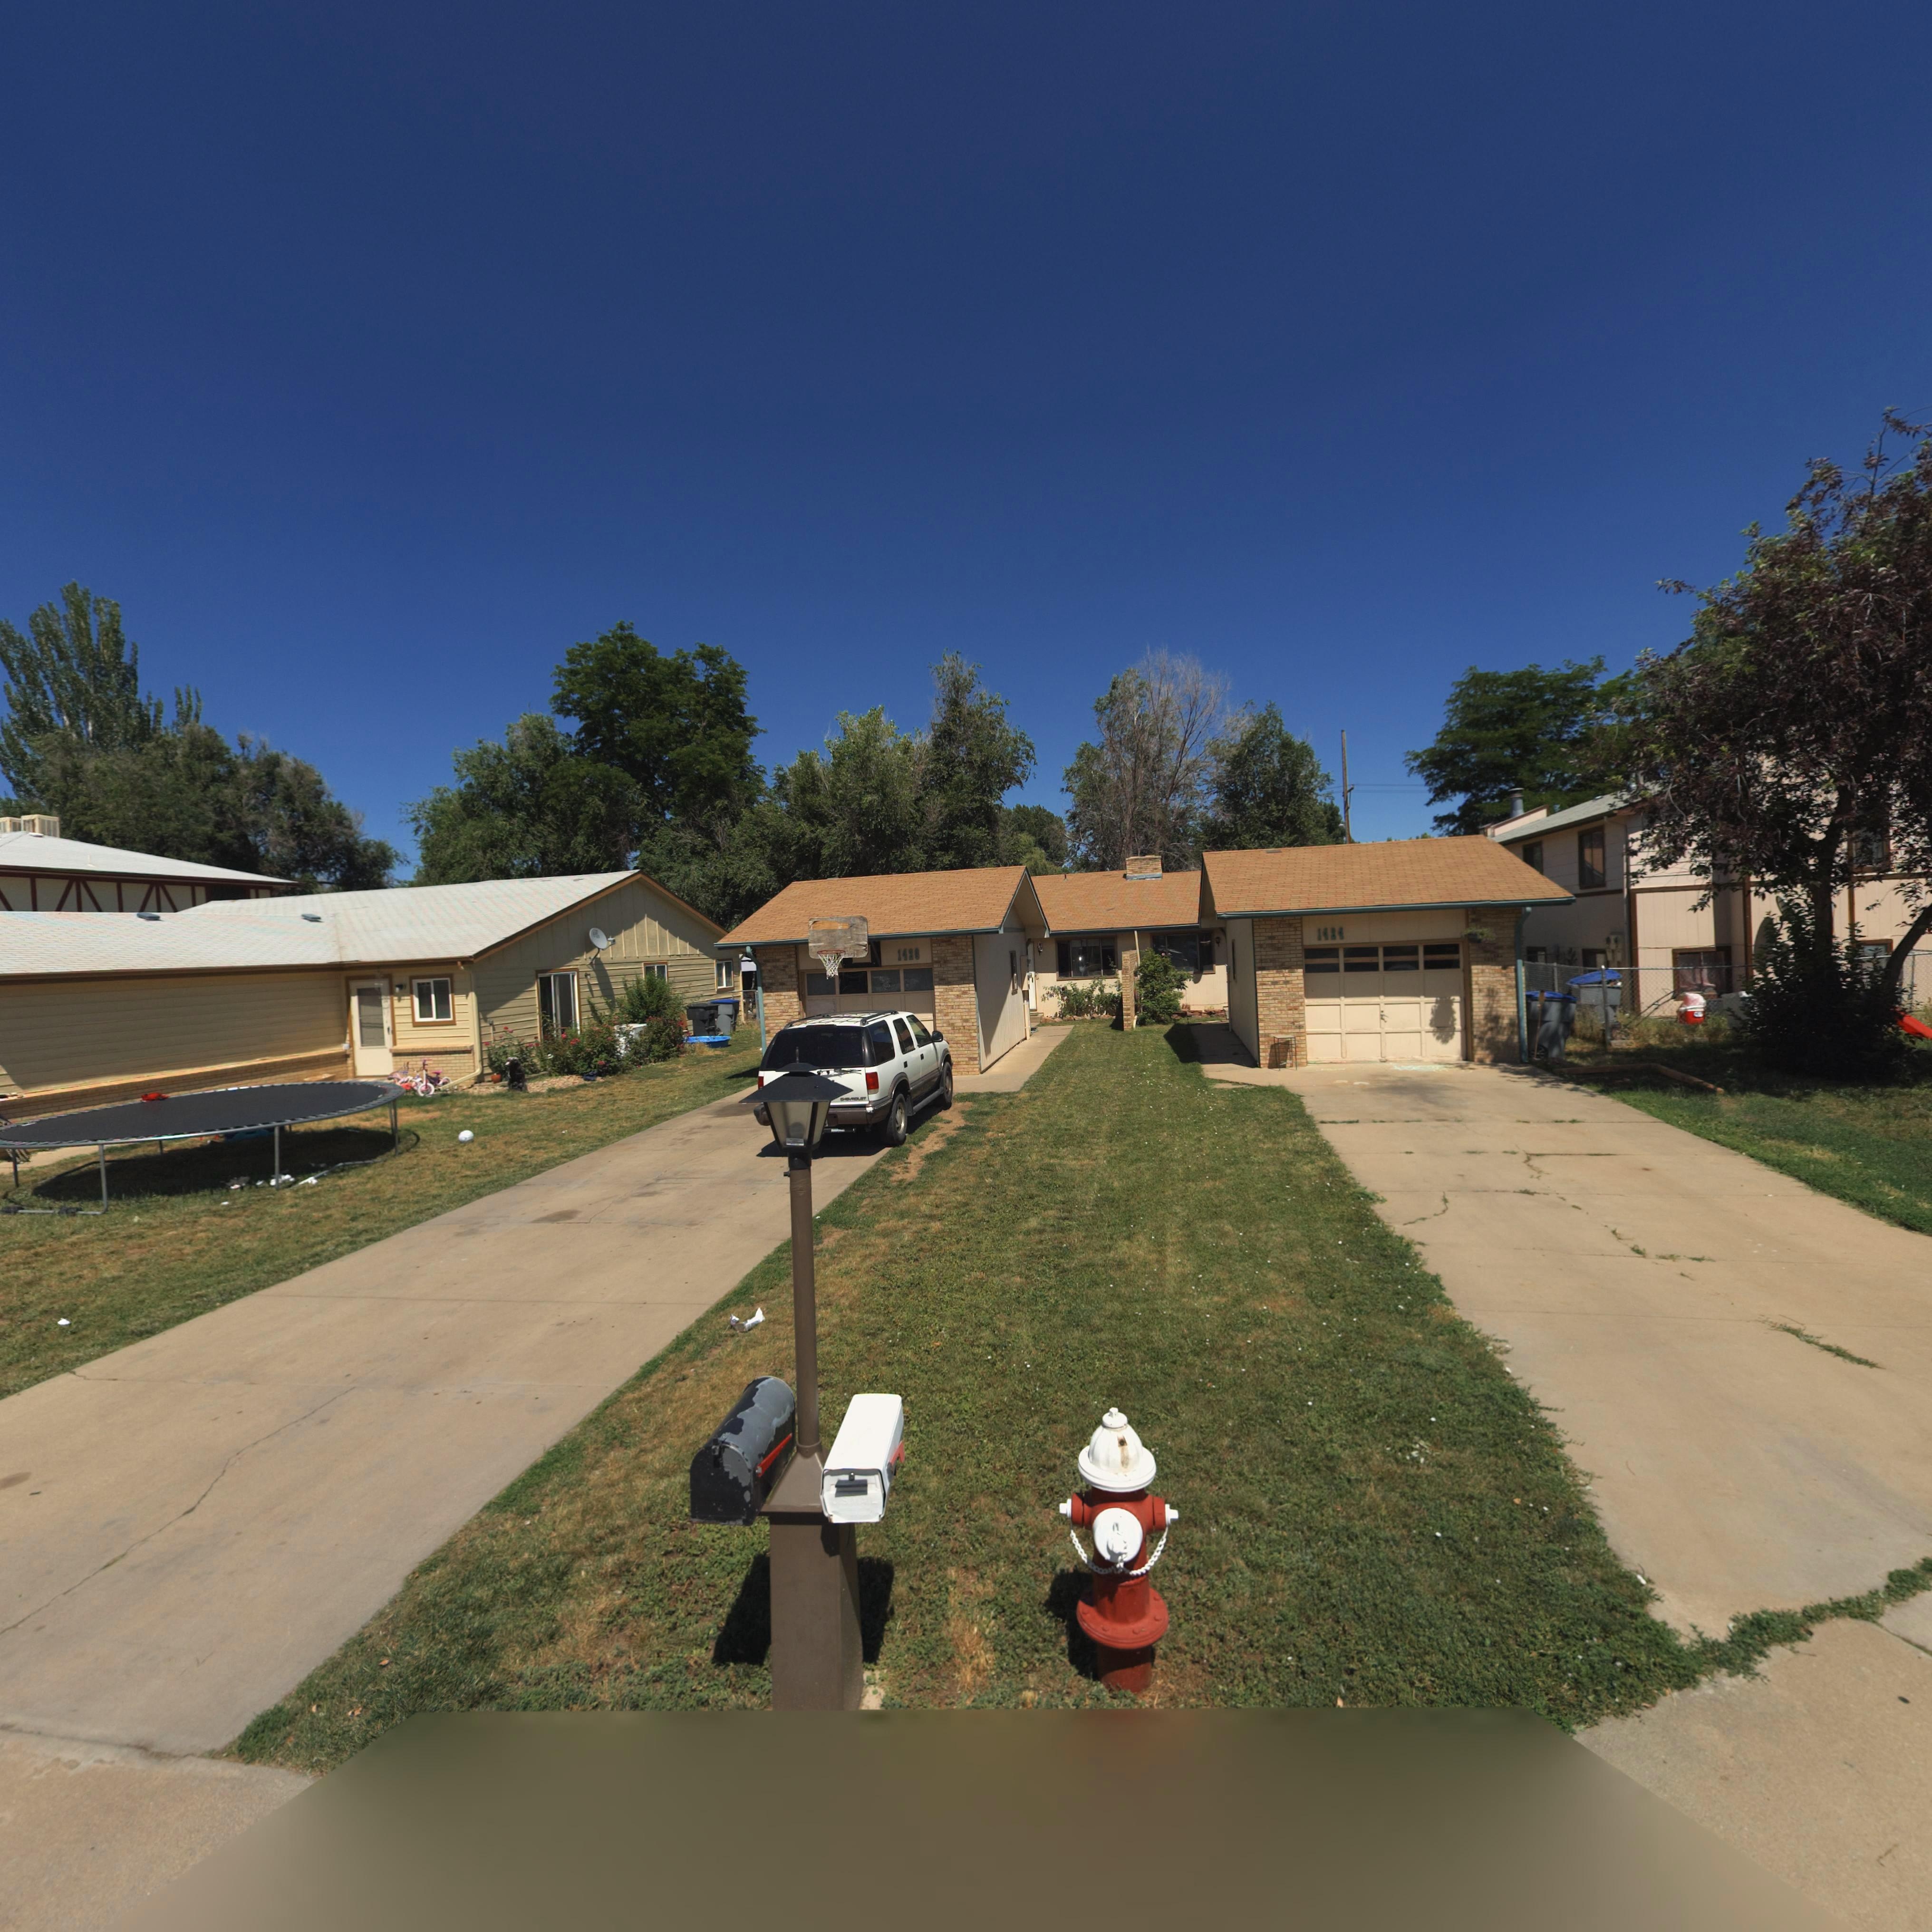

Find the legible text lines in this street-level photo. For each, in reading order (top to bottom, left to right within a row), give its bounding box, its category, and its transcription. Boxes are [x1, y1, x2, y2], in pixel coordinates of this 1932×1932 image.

[1317, 926, 1344, 941] StreetNumber: 1424
[897, 947, 920, 961] StreetNumber: 1426